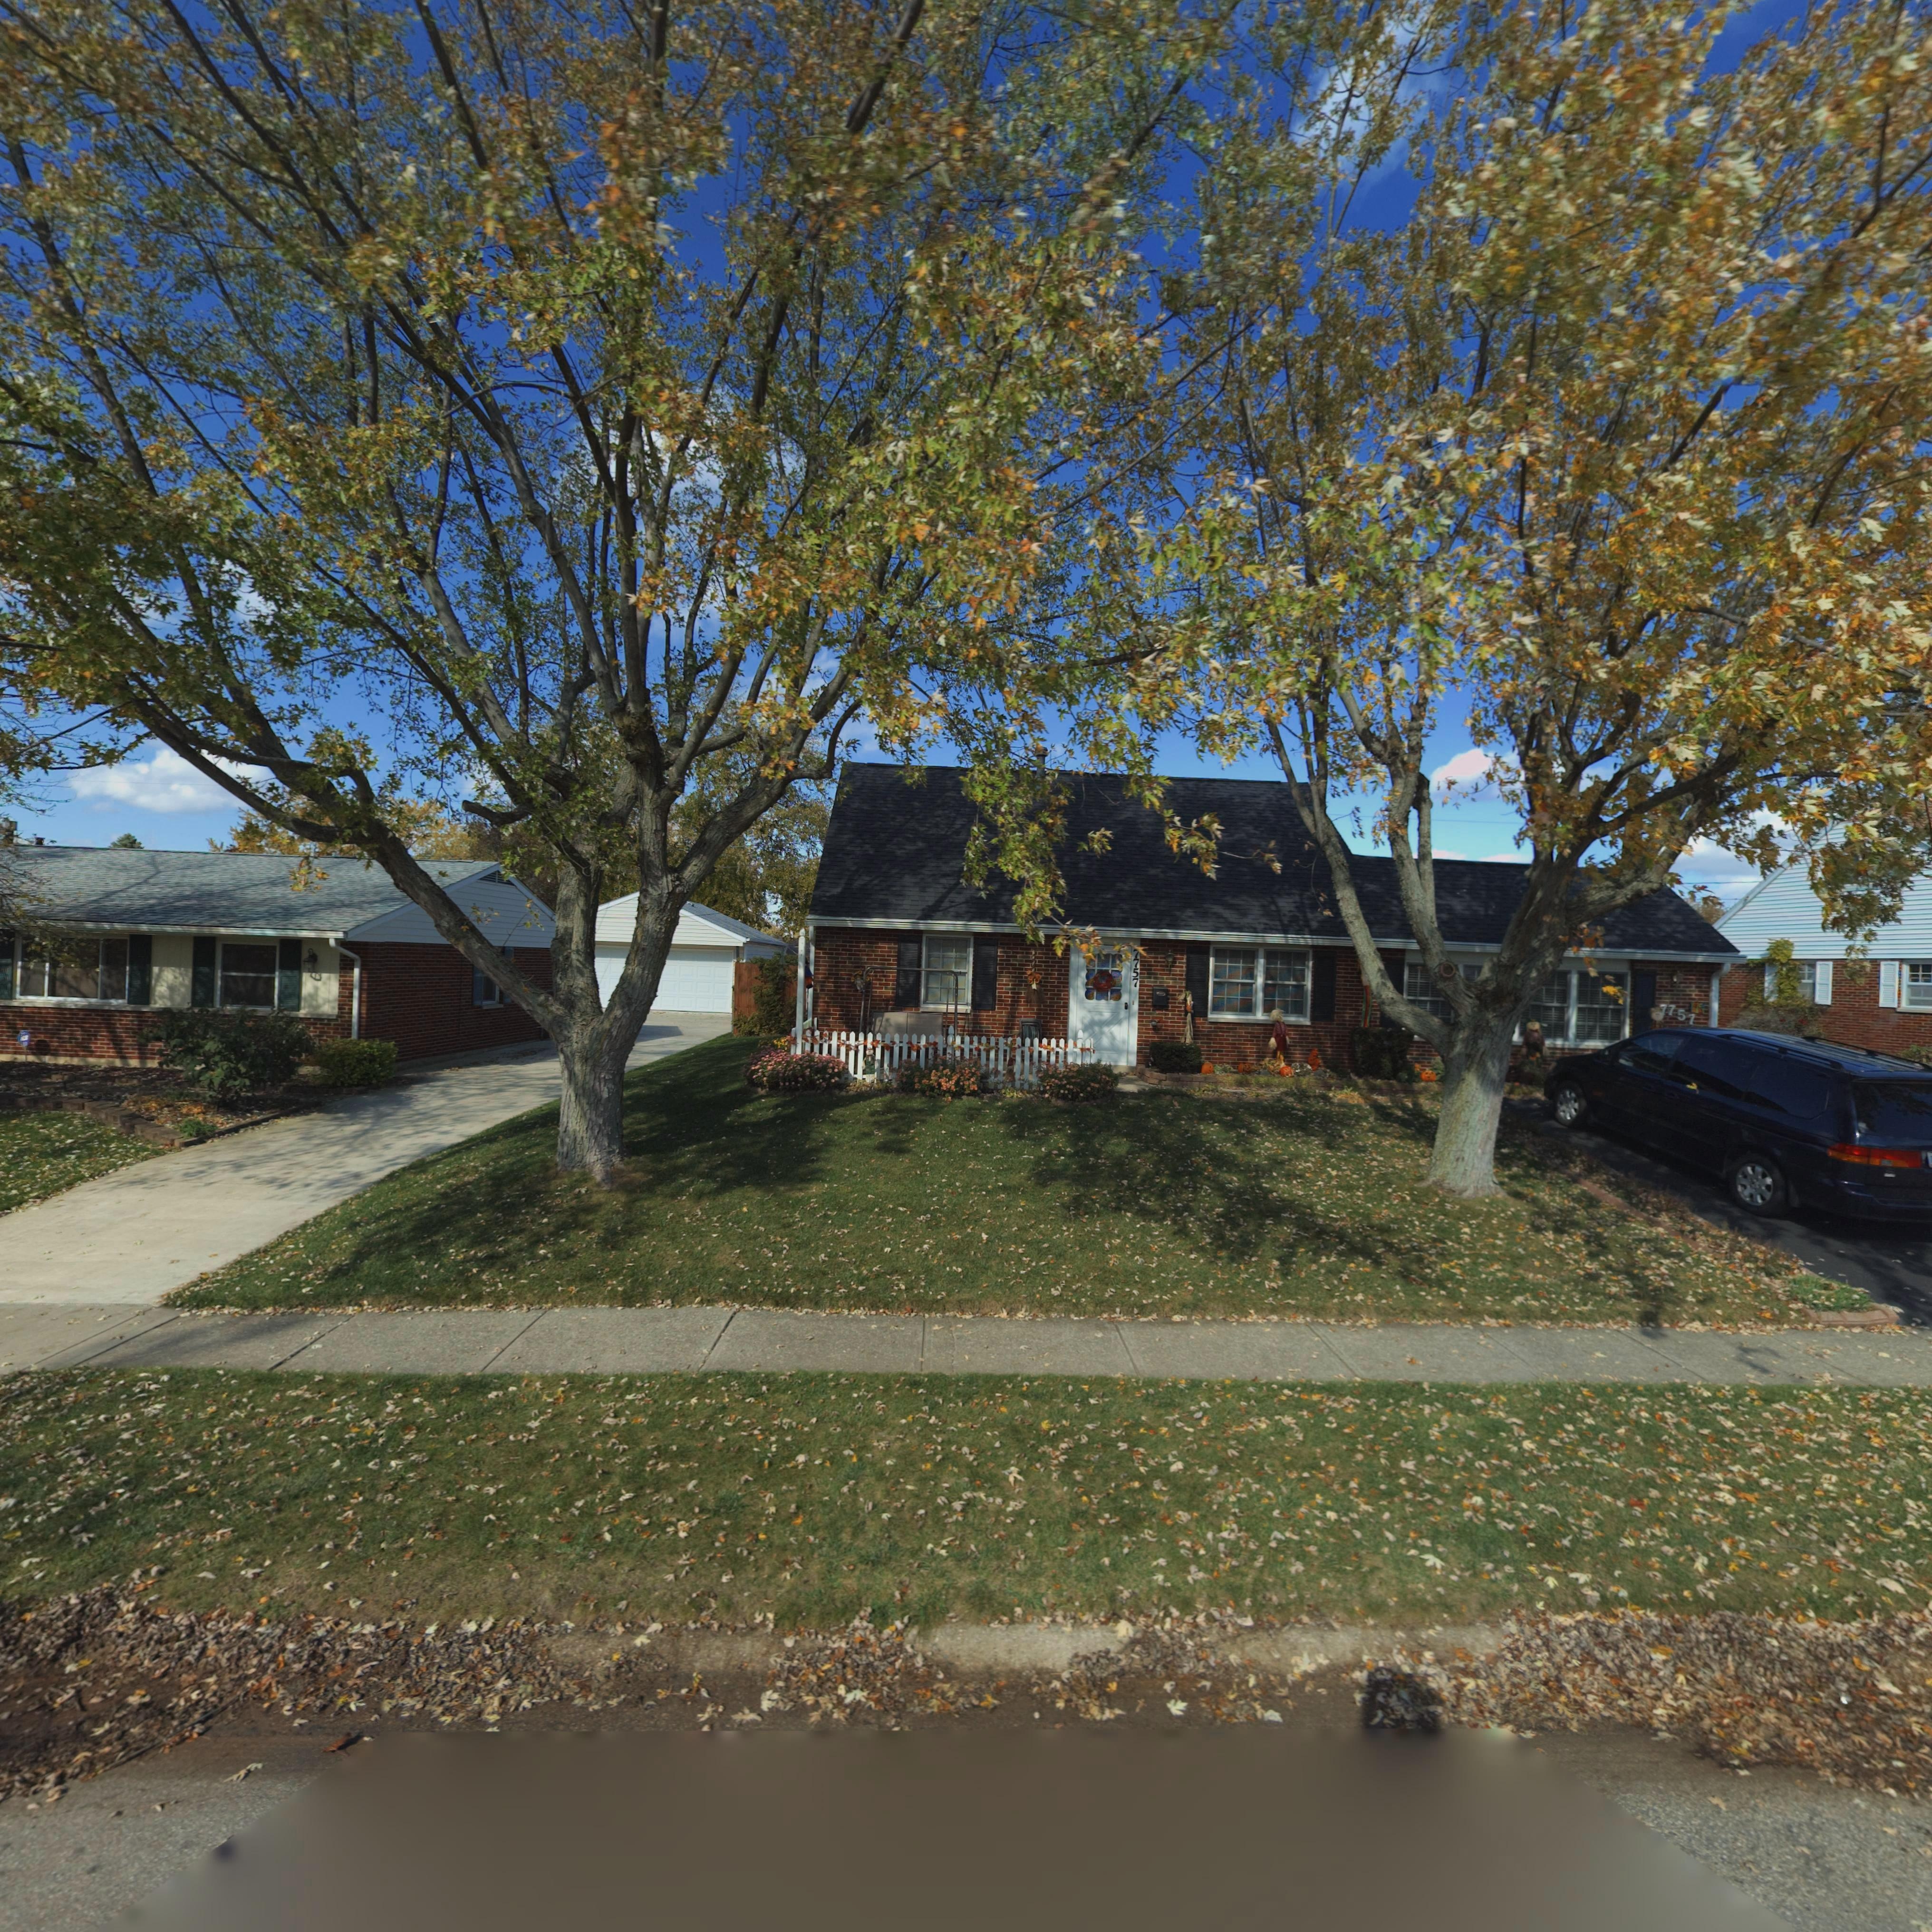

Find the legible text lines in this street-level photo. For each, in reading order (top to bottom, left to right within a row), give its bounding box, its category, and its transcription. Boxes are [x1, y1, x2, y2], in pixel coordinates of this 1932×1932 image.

[1132, 948, 1140, 988] StreetNumber: 7757
[1659, 1004, 1696, 1026] StreetNumber: 7757